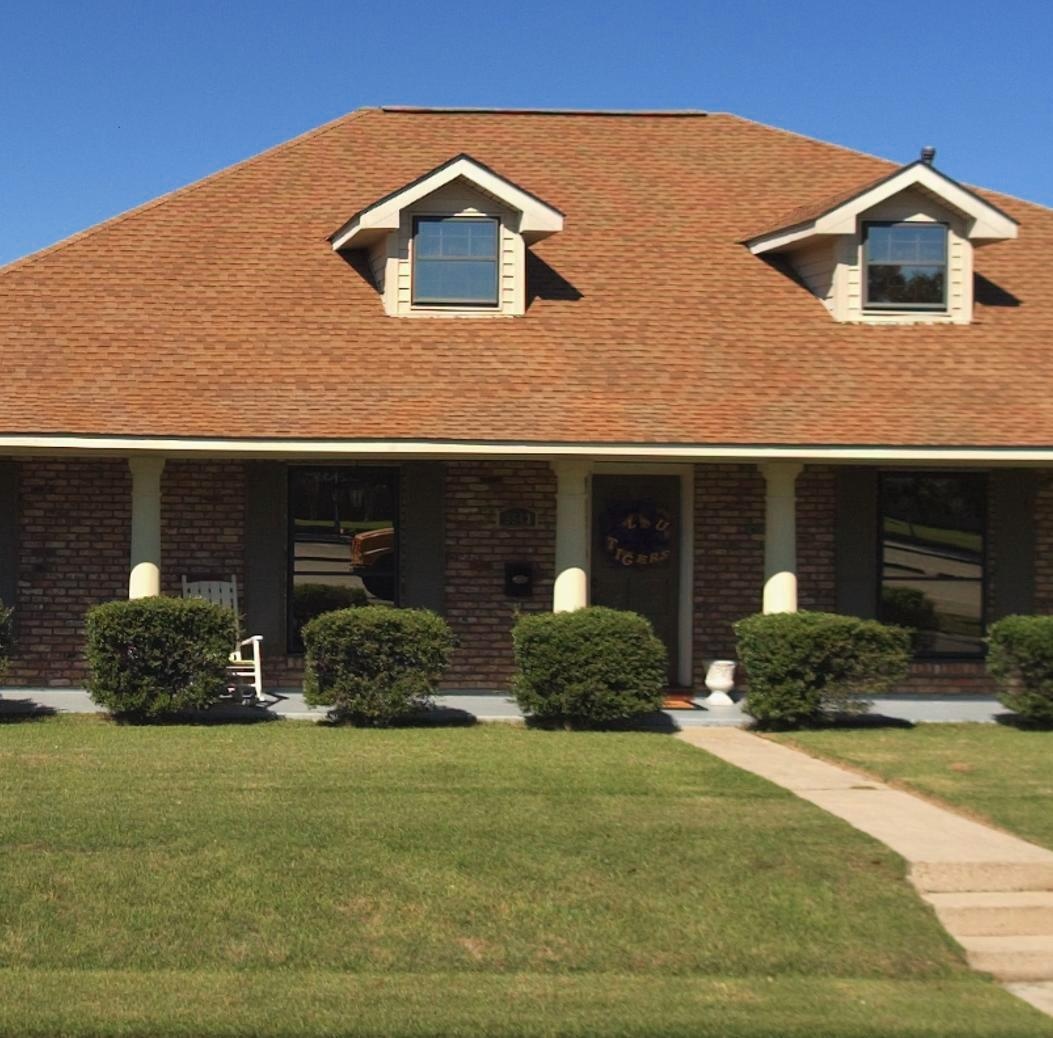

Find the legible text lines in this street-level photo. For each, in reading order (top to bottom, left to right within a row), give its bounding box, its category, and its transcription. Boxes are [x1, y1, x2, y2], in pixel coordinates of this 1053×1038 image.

[503, 511, 533, 527] StreetNumber: 8*43
[653, 514, 673, 535] None: U
[604, 533, 671, 568] None: TIGERS